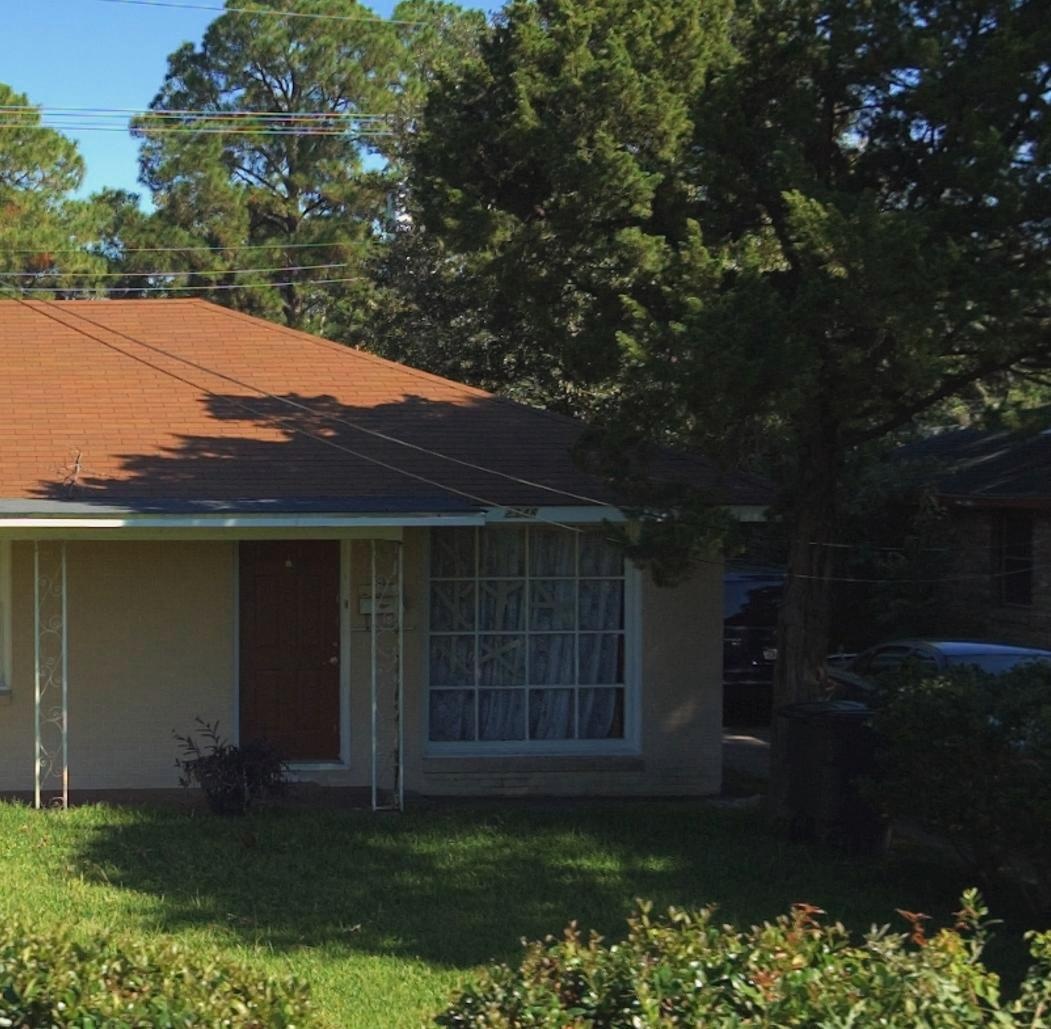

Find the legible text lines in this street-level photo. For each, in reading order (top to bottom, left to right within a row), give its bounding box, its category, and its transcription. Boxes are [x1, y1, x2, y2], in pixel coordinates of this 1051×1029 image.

[502, 507, 540, 519] StreetNumber: 234*